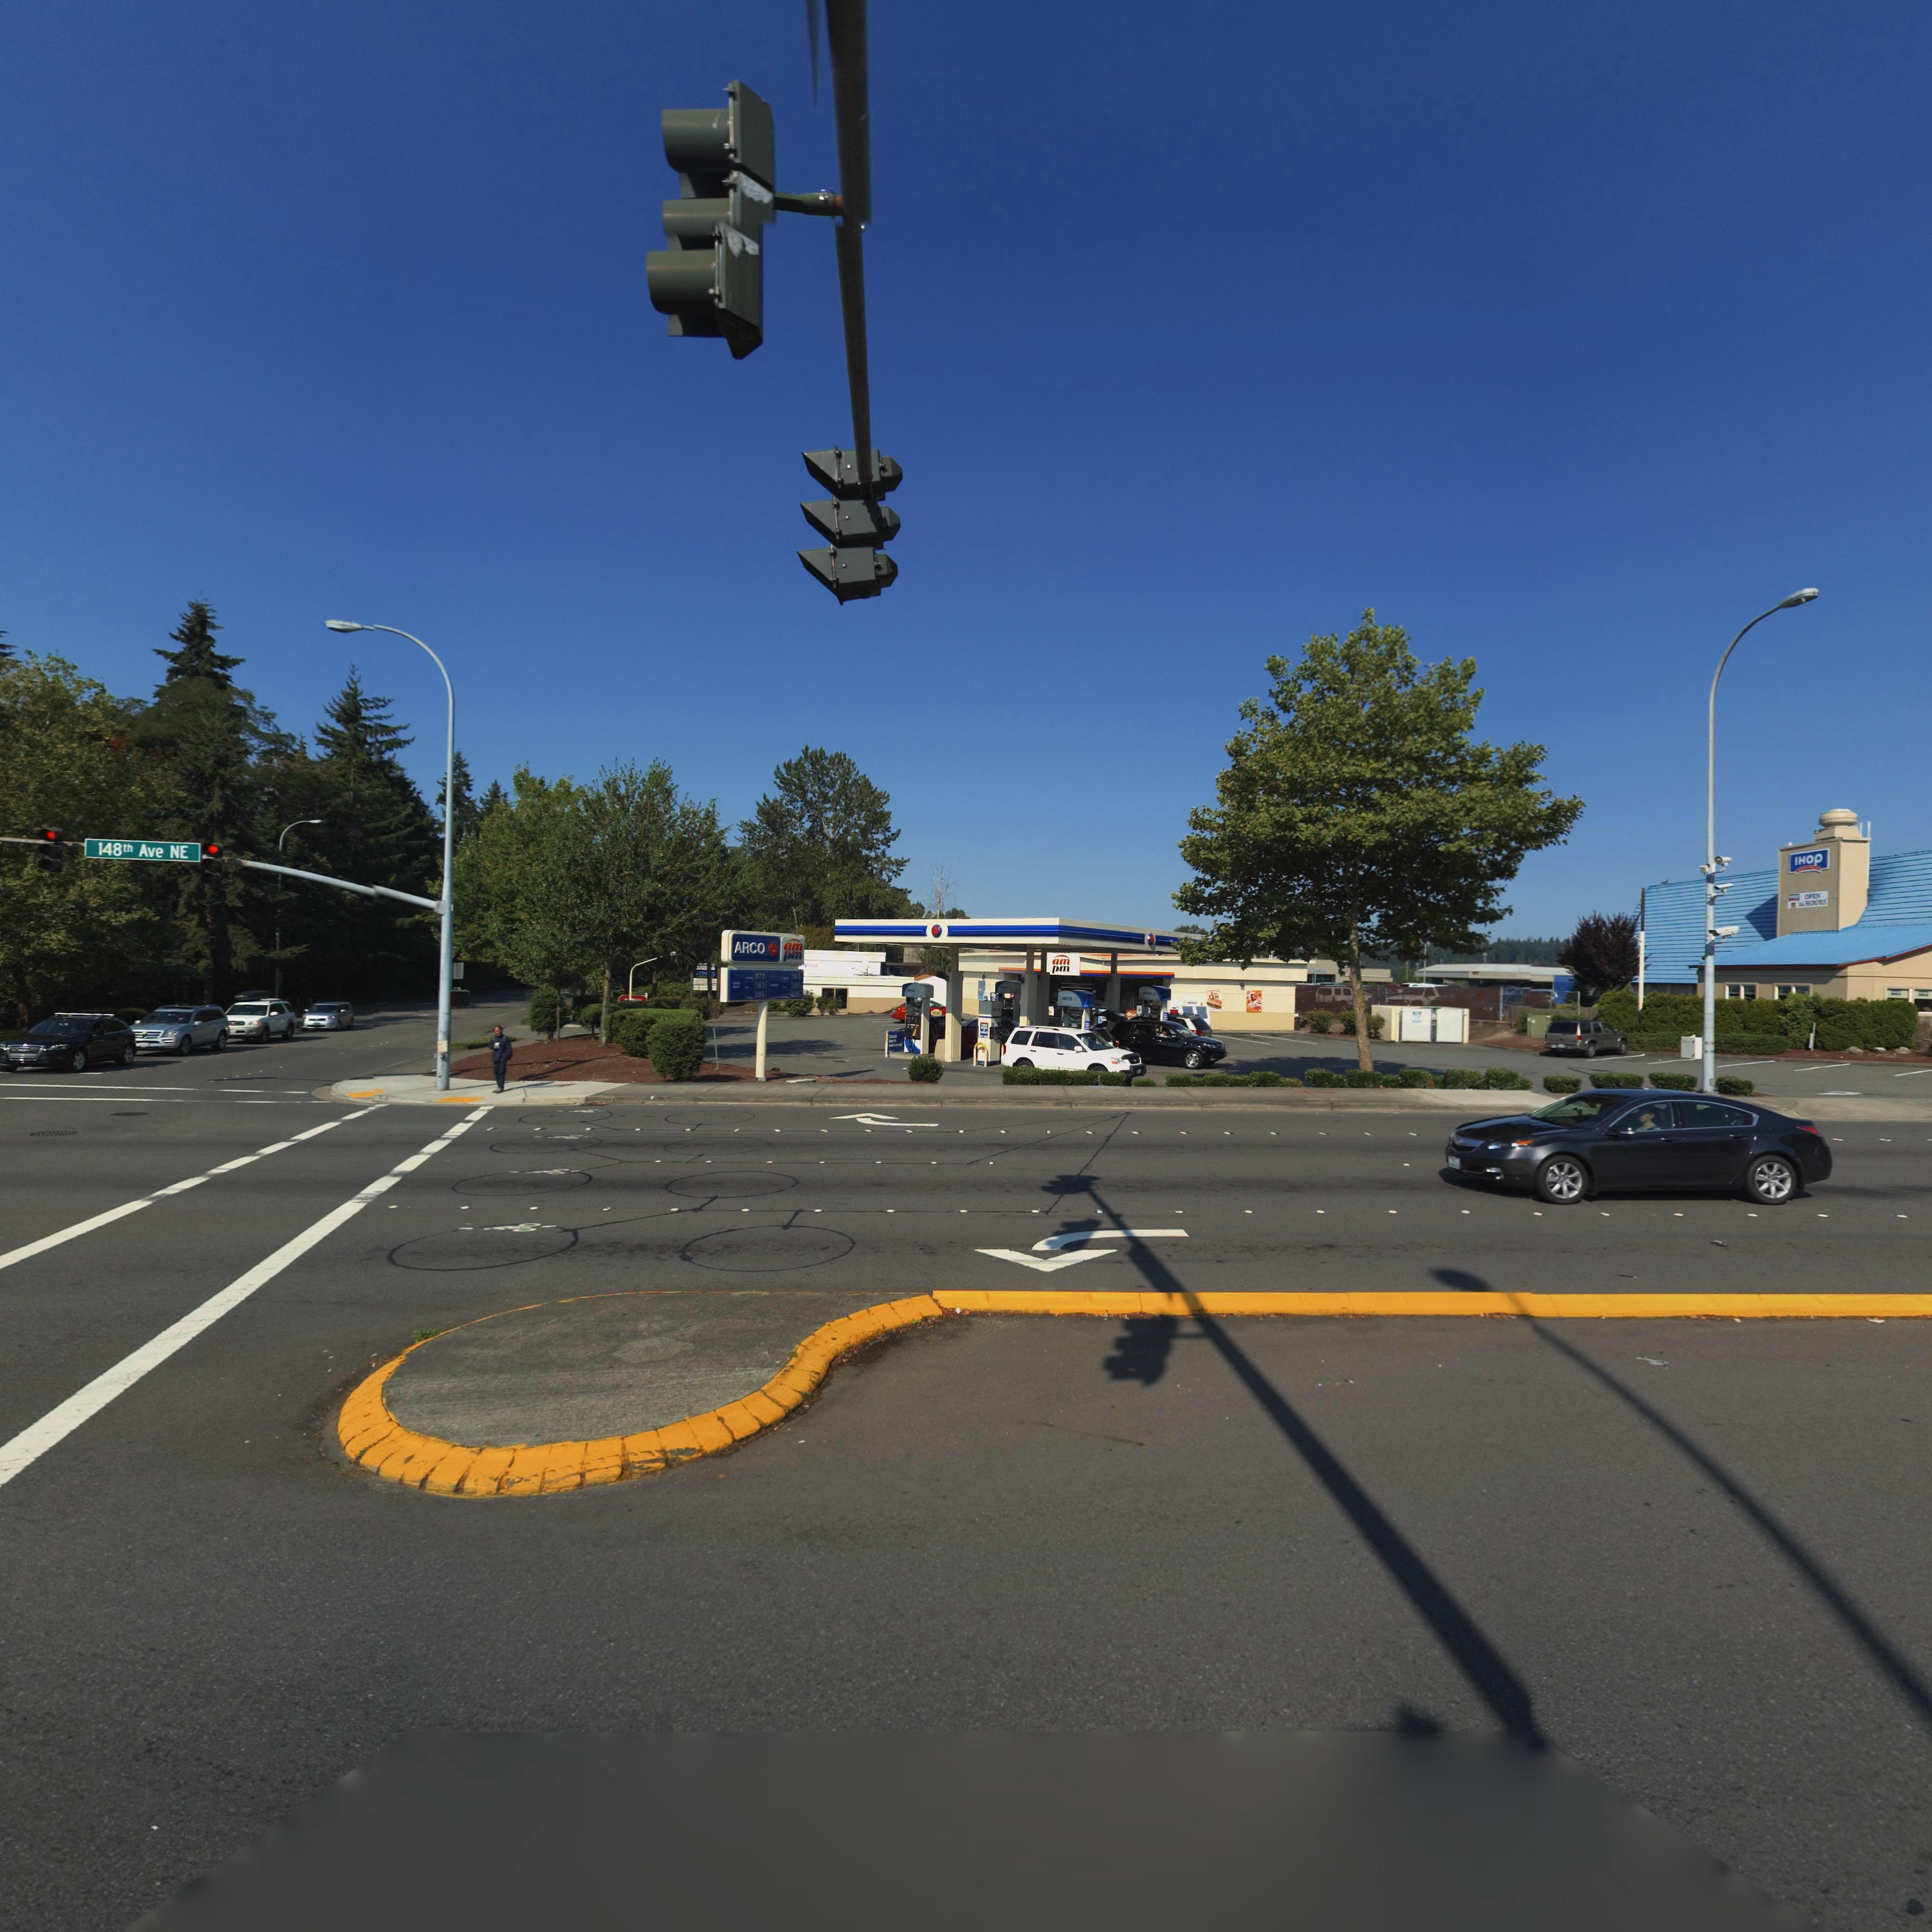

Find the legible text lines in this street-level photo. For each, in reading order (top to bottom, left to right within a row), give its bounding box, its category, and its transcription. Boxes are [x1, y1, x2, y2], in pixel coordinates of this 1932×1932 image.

[98, 842, 188, 858] StreetName: 148th Ave NE
[733, 941, 766, 955] BusinessName: ARCO
[783, 941, 803, 951] BusinessName: am
[782, 950, 802, 961] BusinessName: pm
[1052, 958, 1070, 966] BusinessName: am
[1051, 965, 1070, 974] BusinessName: pm
[906, 988, 916, 993] BusinessName: **CO
[1061, 996, 1072, 1001] BusinessName: ARCO